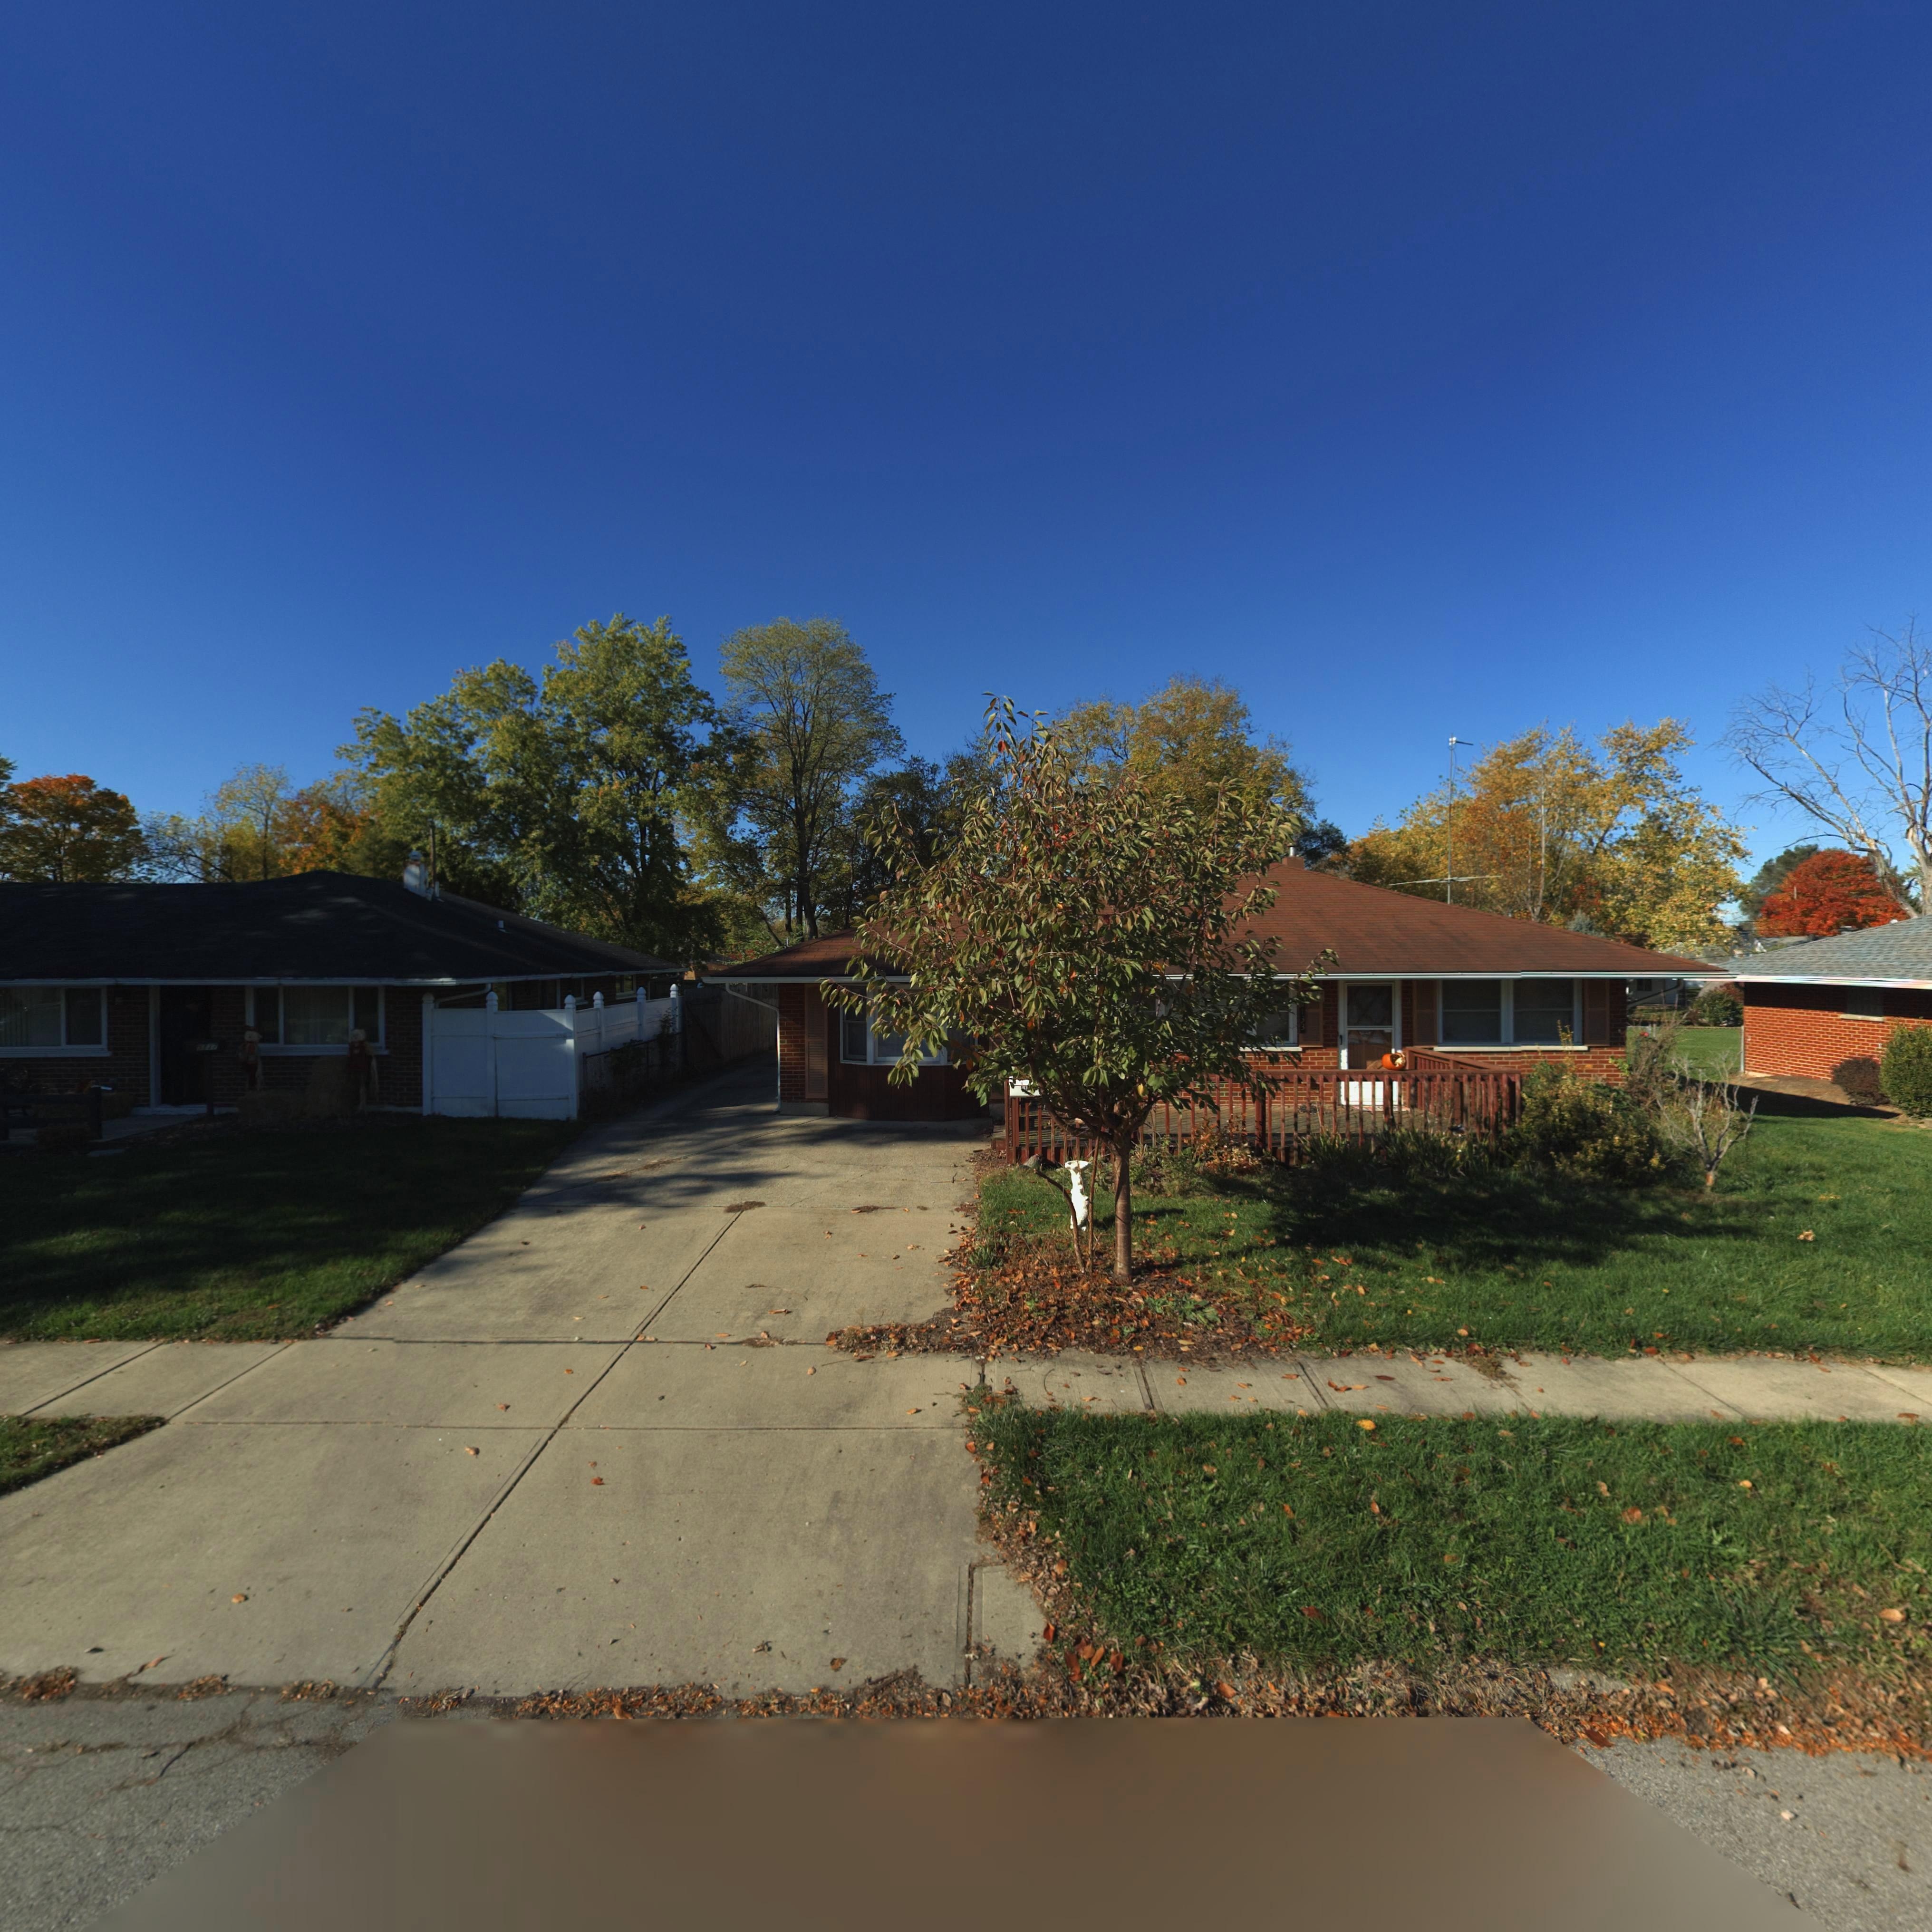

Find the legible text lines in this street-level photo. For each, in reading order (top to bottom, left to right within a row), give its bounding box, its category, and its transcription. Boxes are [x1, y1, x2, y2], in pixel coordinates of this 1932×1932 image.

[1299, 1007, 1305, 1031] StreetNumber: 133